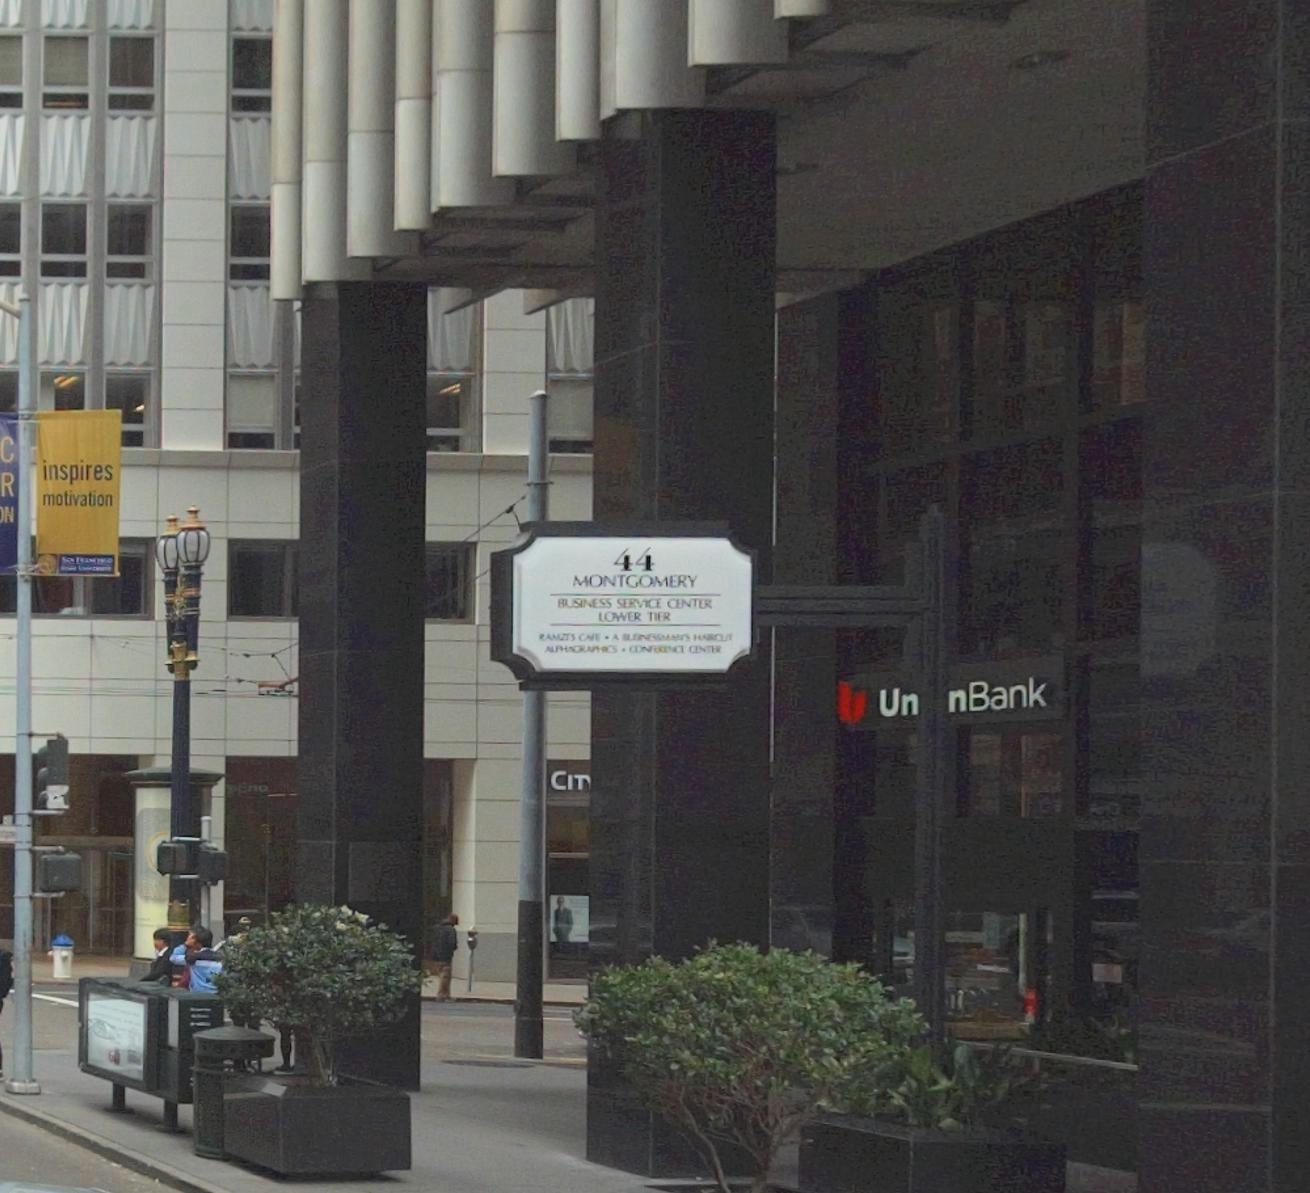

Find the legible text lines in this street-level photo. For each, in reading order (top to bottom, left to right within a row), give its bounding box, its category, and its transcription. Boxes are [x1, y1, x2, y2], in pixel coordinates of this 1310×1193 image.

[0, 434, 17, 466] None: C
[0, 470, 17, 499] None: R
[40, 456, 116, 488] None: inspires
[40, 487, 116, 509] None: motivation
[2, 503, 17, 526] None: N
[610, 544, 658, 574] BusinessName: 44
[568, 572, 702, 591] StreetName: MONTGOMERY
[555, 595, 715, 611] None: BUSINESS SERVICE CENTER
[596, 609, 675, 625] None: LOWER TIER
[874, 682, 923, 723] BusinessName: Un
[945, 674, 1053, 716] BusinessName: nBank
[546, 767, 590, 795] BusinessName: CIT